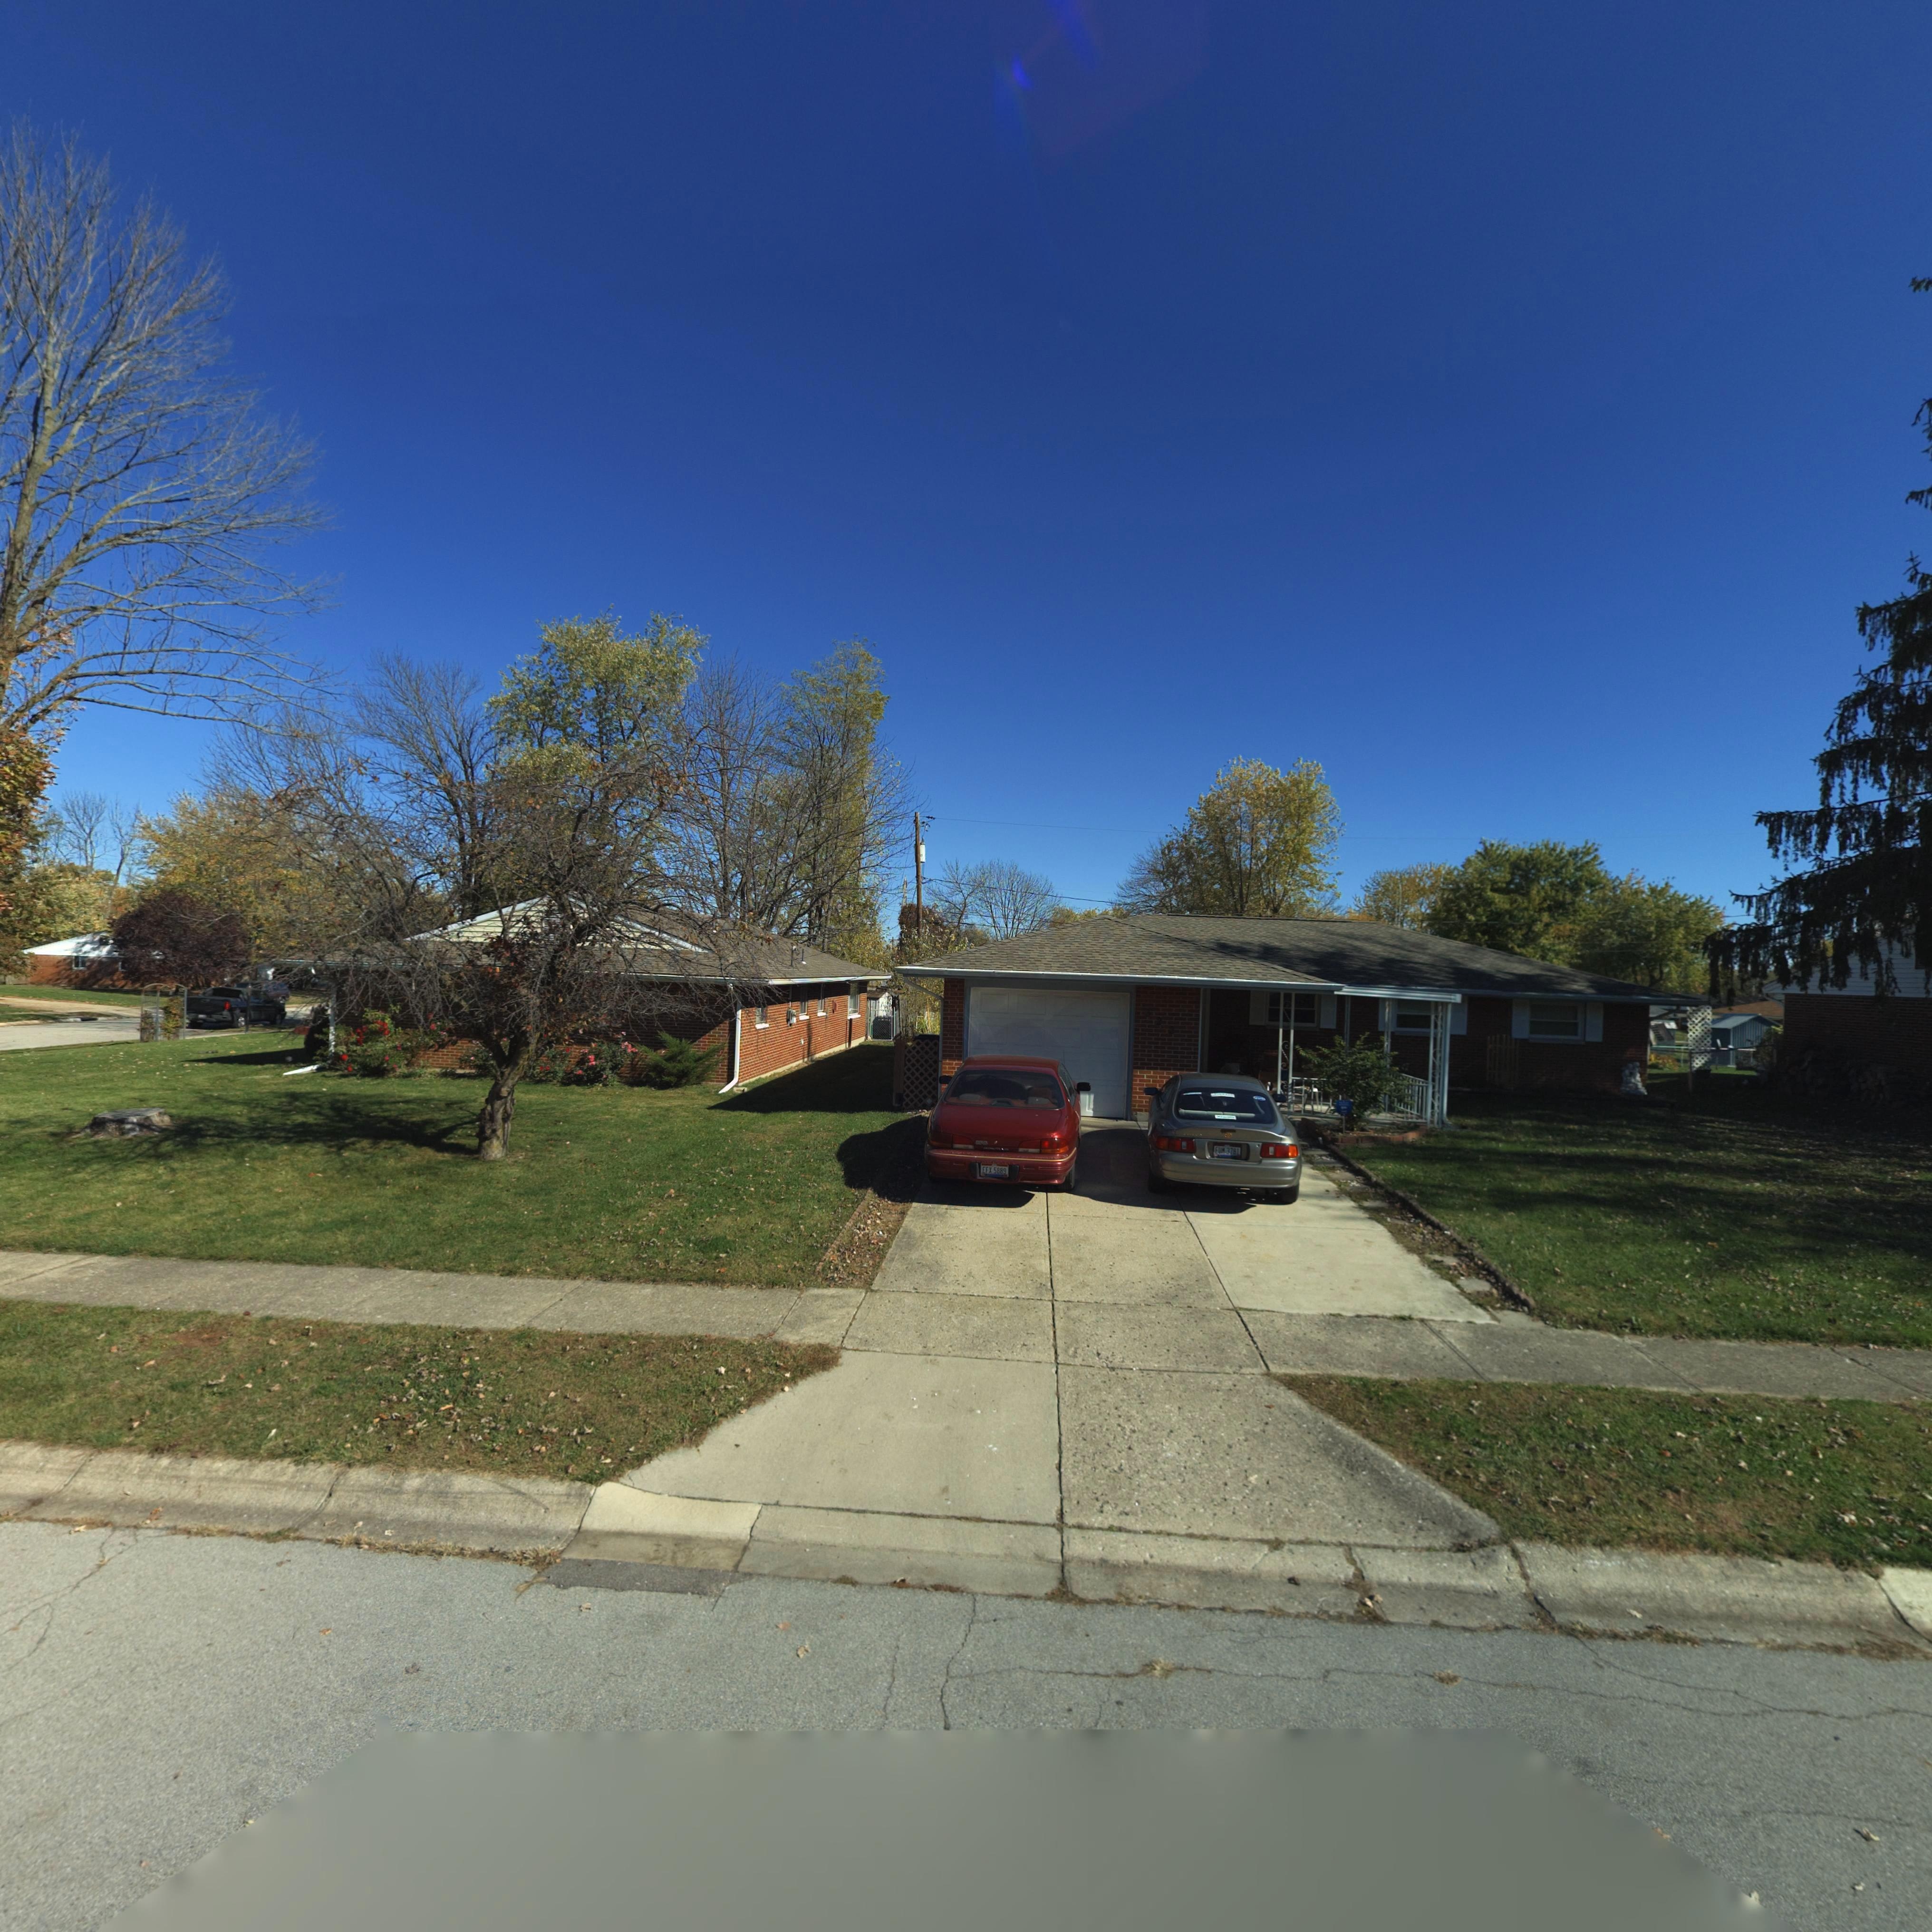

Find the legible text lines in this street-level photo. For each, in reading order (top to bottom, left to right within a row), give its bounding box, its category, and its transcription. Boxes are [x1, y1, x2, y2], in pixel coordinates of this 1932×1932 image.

[1145, 1008, 1176, 1035] StreetNumber: 32*